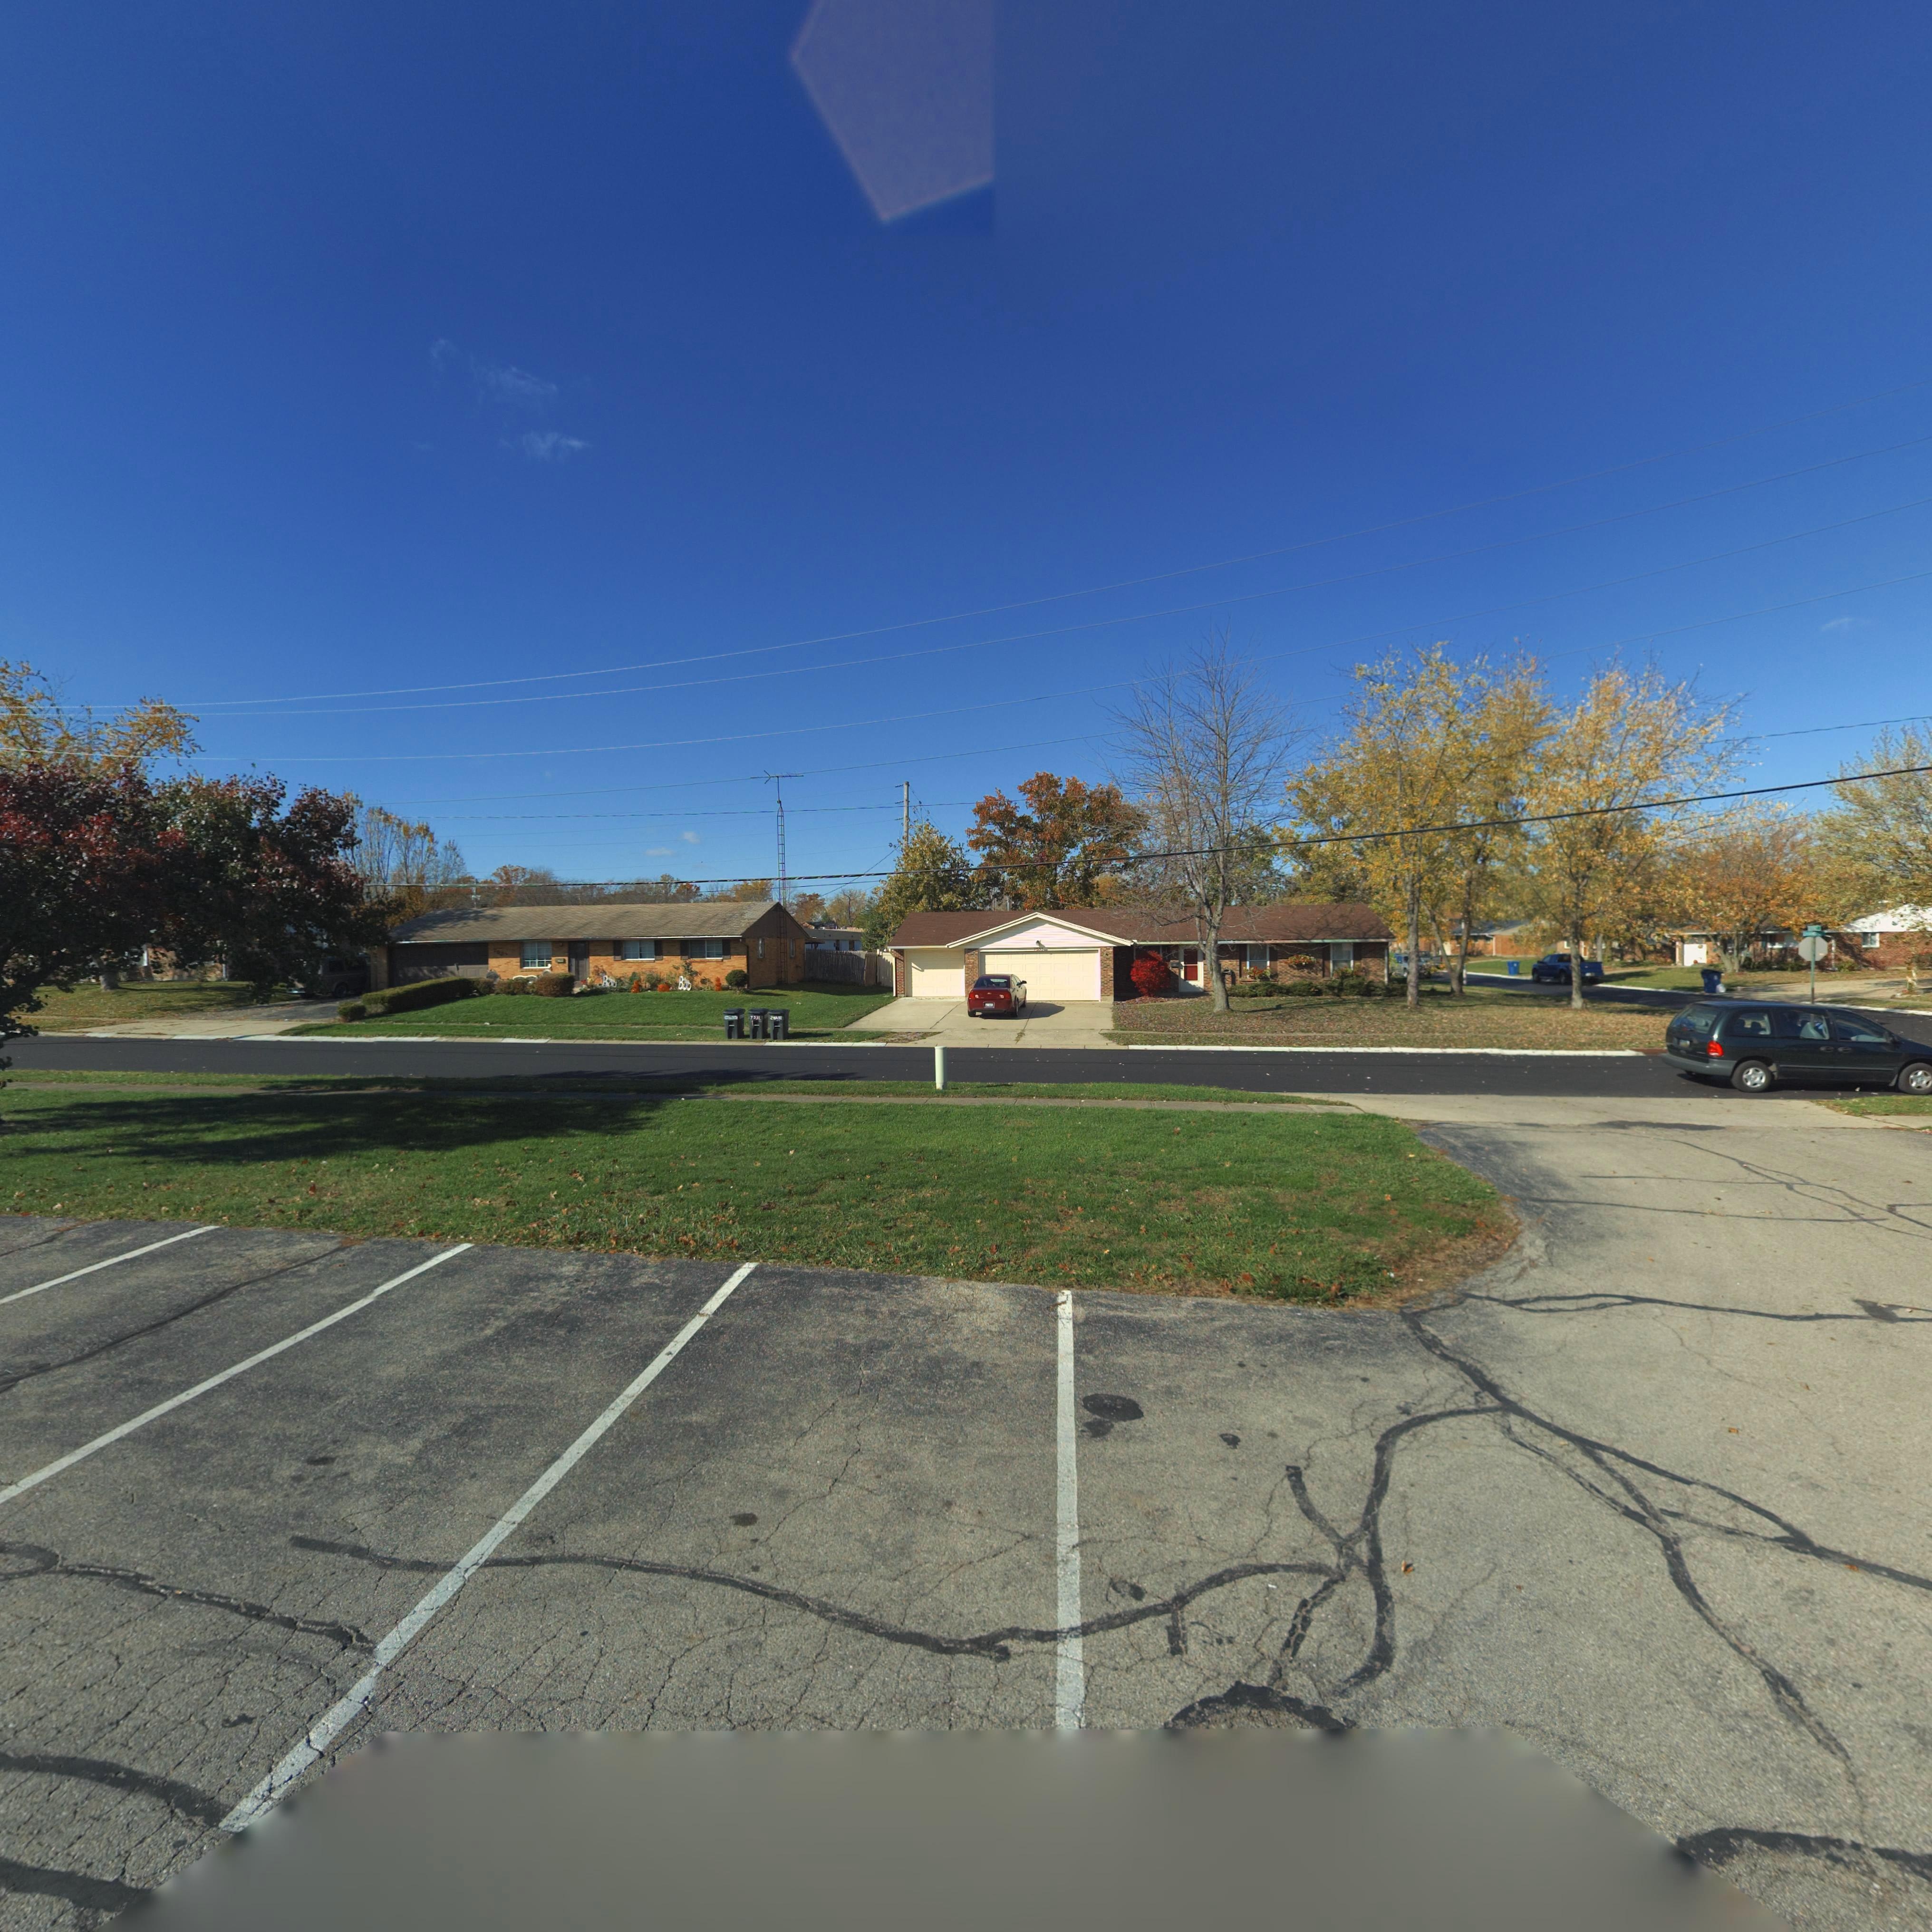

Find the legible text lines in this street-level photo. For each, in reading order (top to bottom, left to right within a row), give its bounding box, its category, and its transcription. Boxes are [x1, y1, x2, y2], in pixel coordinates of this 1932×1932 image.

[493, 948, 501, 955] StreetNumber: 70
[1033, 947, 1043, 951] StreetNumber: 7531
[750, 1015, 760, 1020] StreetNumber: 75*1